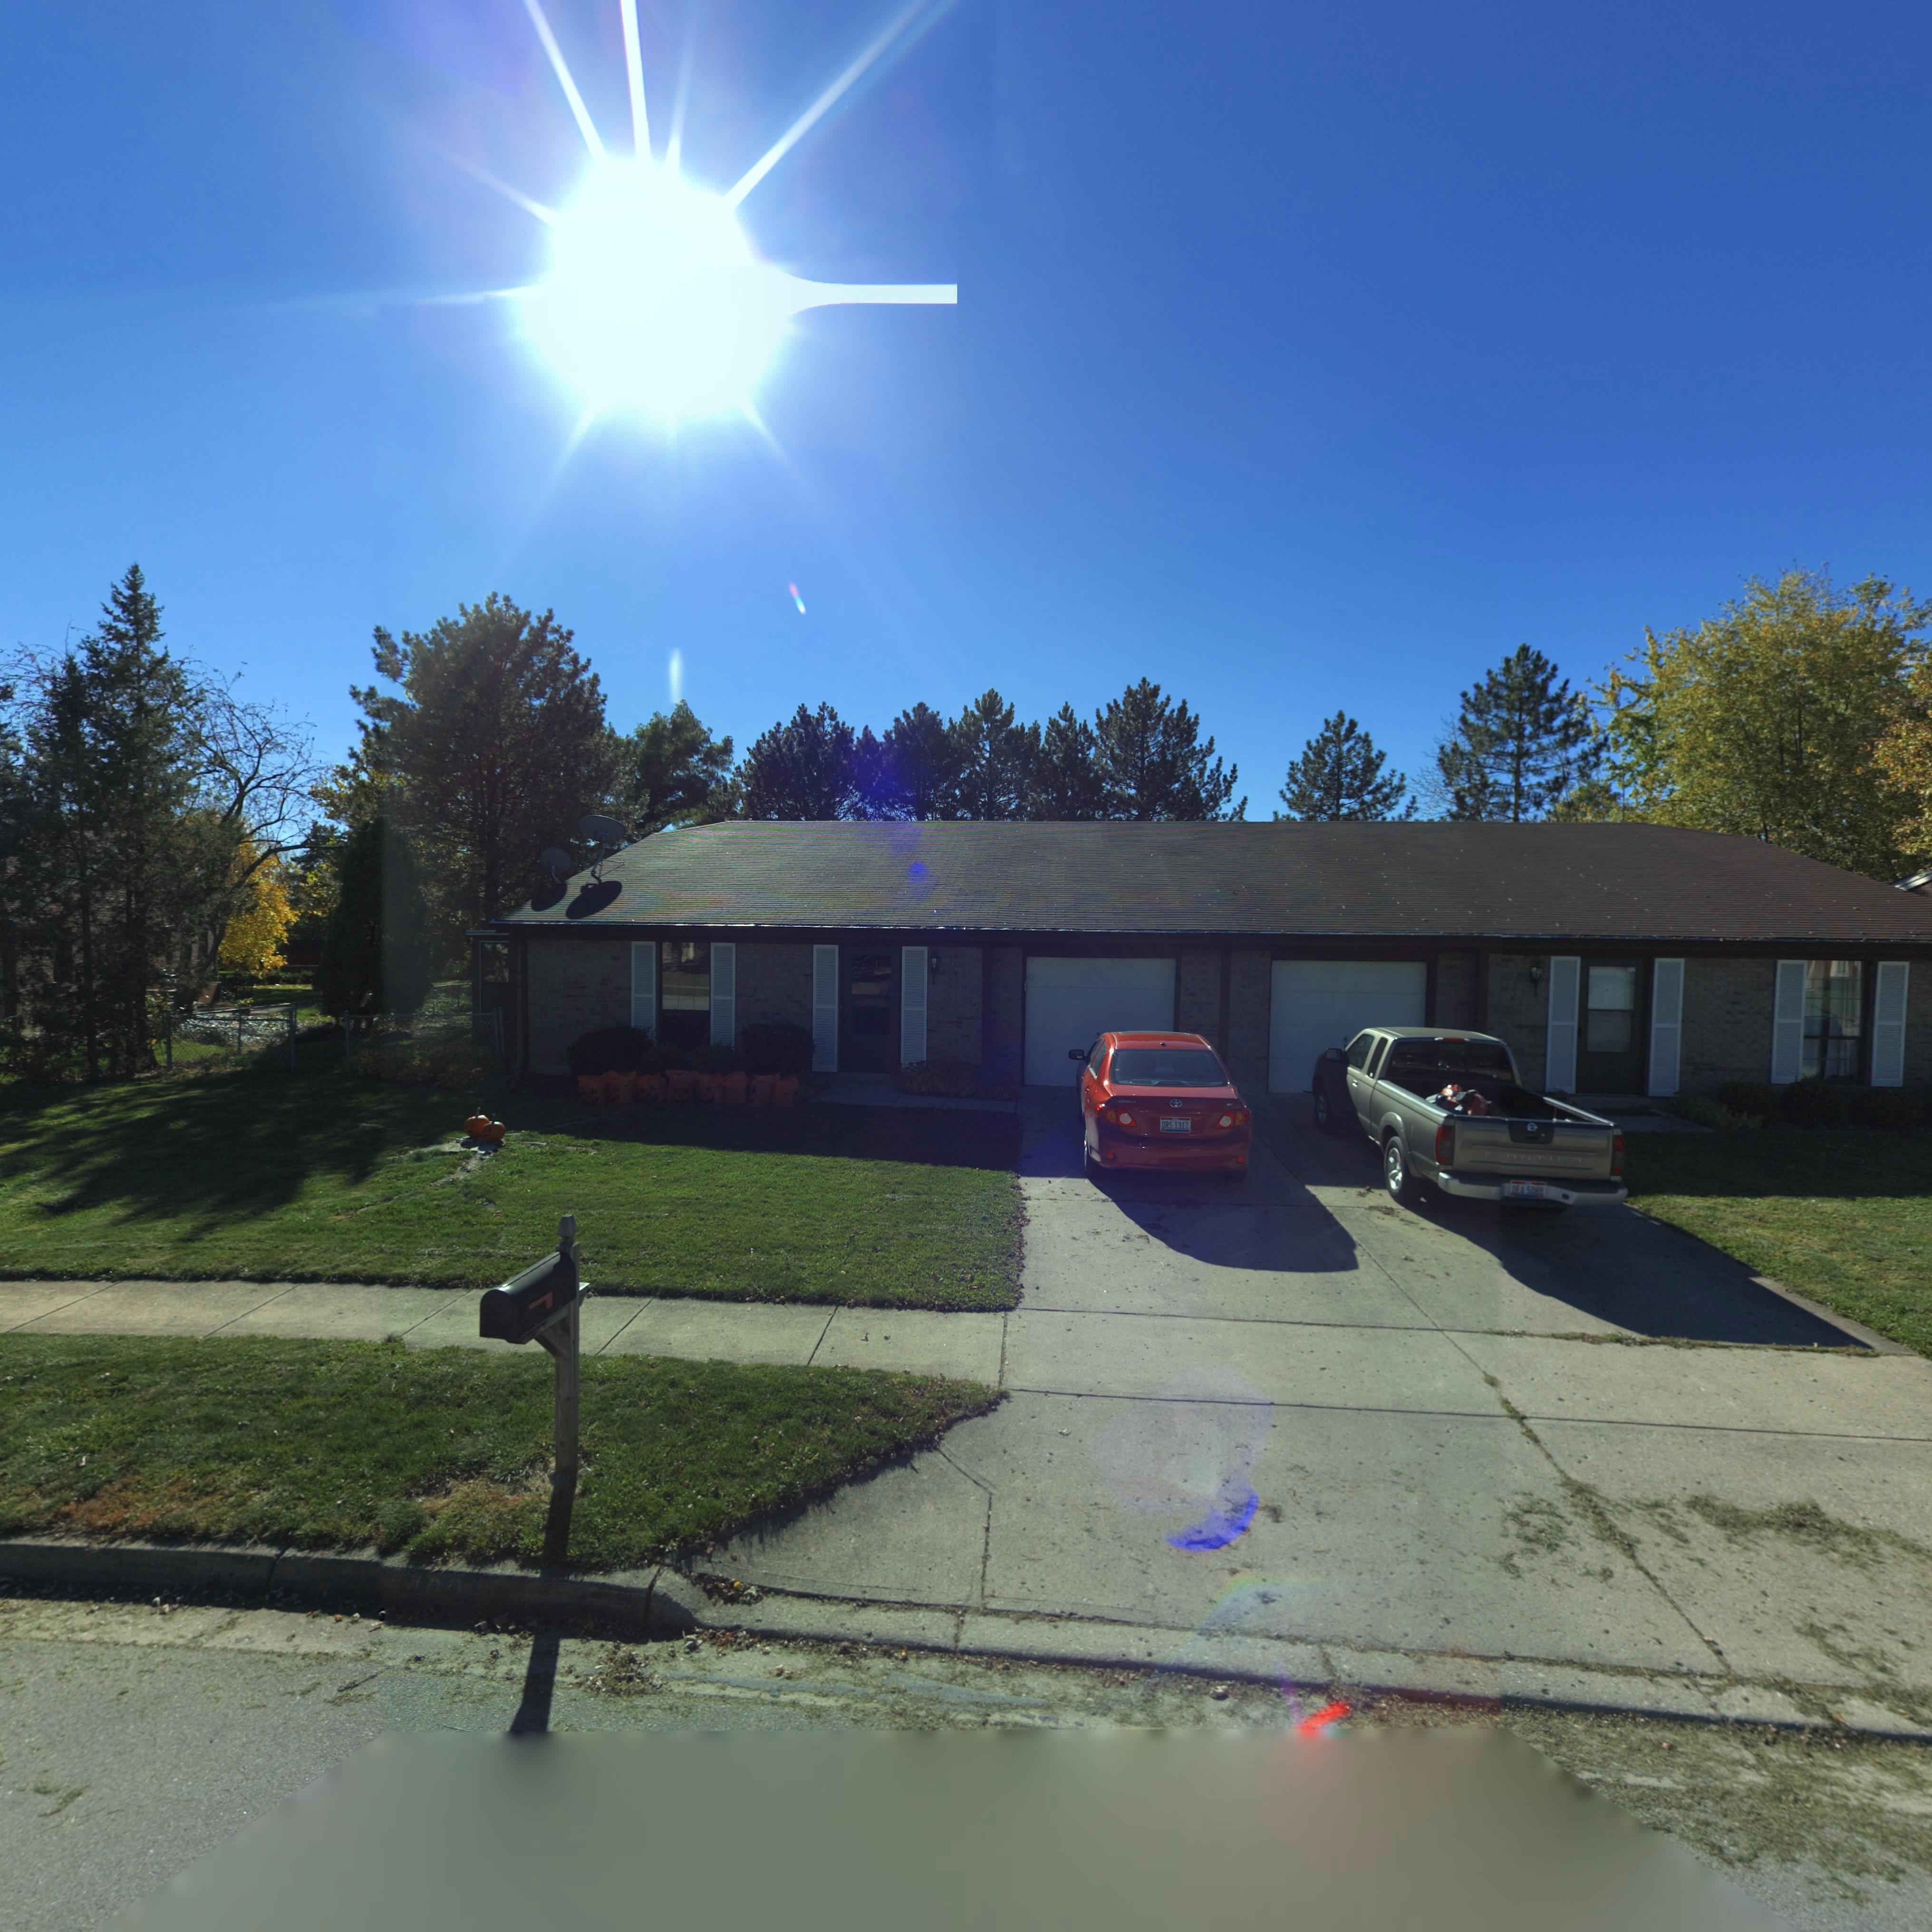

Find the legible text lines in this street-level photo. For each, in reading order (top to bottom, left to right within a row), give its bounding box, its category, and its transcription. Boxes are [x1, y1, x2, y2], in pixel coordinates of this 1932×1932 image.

[405, 1572, 483, 1601] StreetNumber: 4000